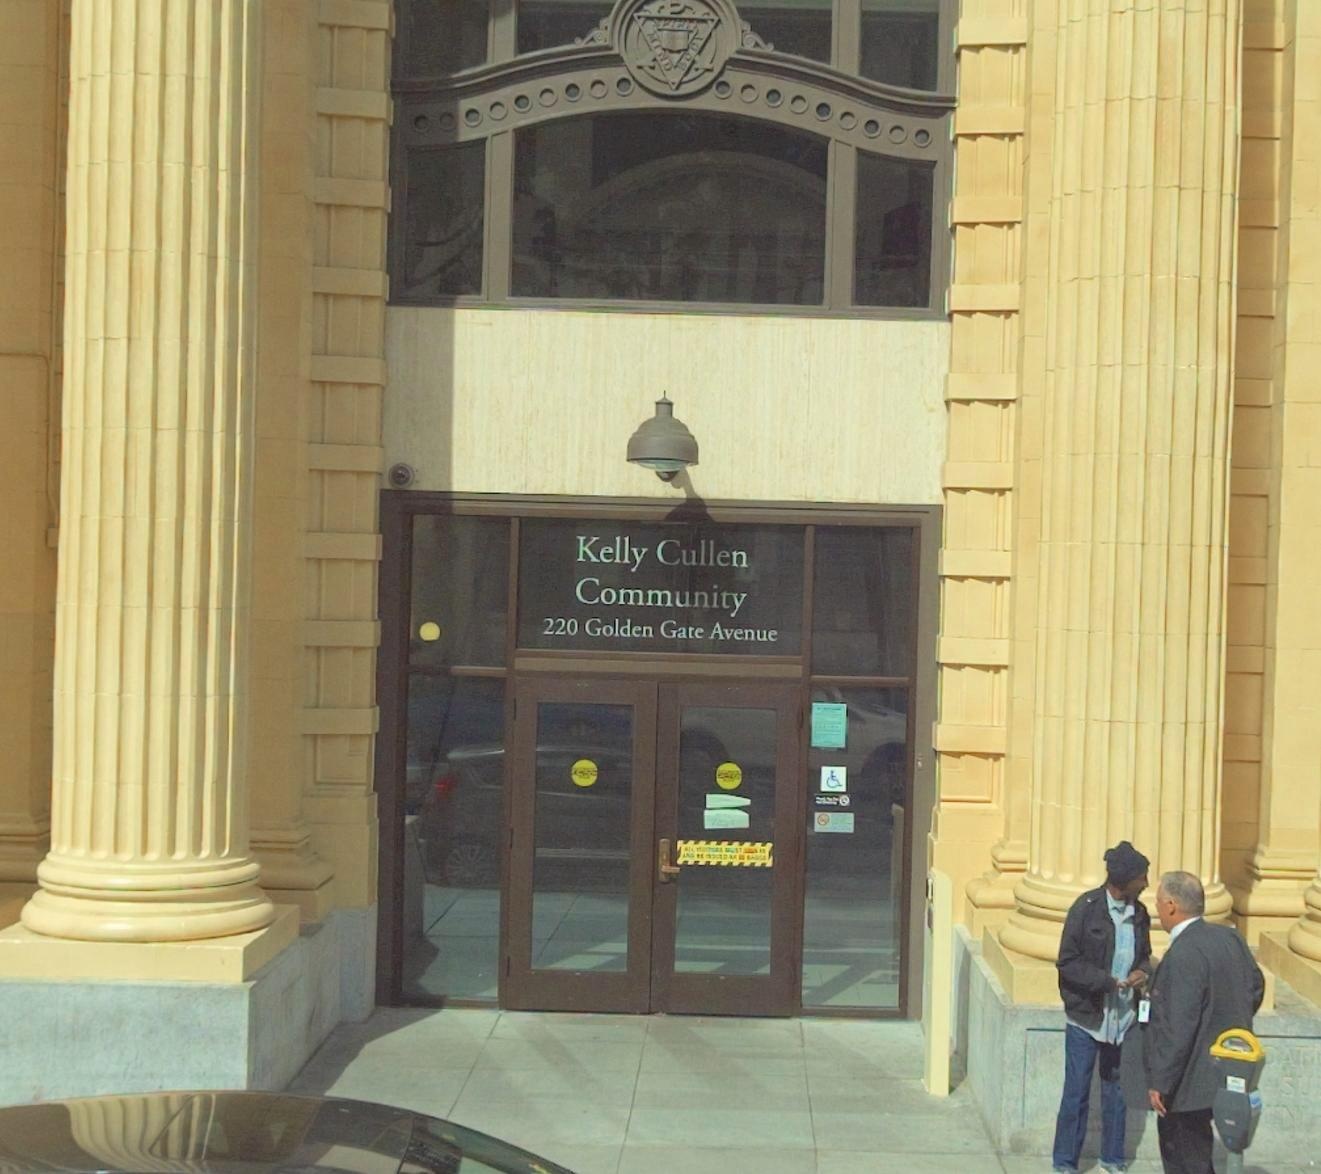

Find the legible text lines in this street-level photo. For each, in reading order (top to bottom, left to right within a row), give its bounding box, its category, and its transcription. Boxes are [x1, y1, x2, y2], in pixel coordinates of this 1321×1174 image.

[575, 534, 750, 573] BusinessName: Kelly Cullen
[573, 572, 752, 620] BusinessName: Community
[541, 612, 579, 639] StreetNumber: 220
[583, 616, 783, 648] StreetName: Golden Gate Avenue